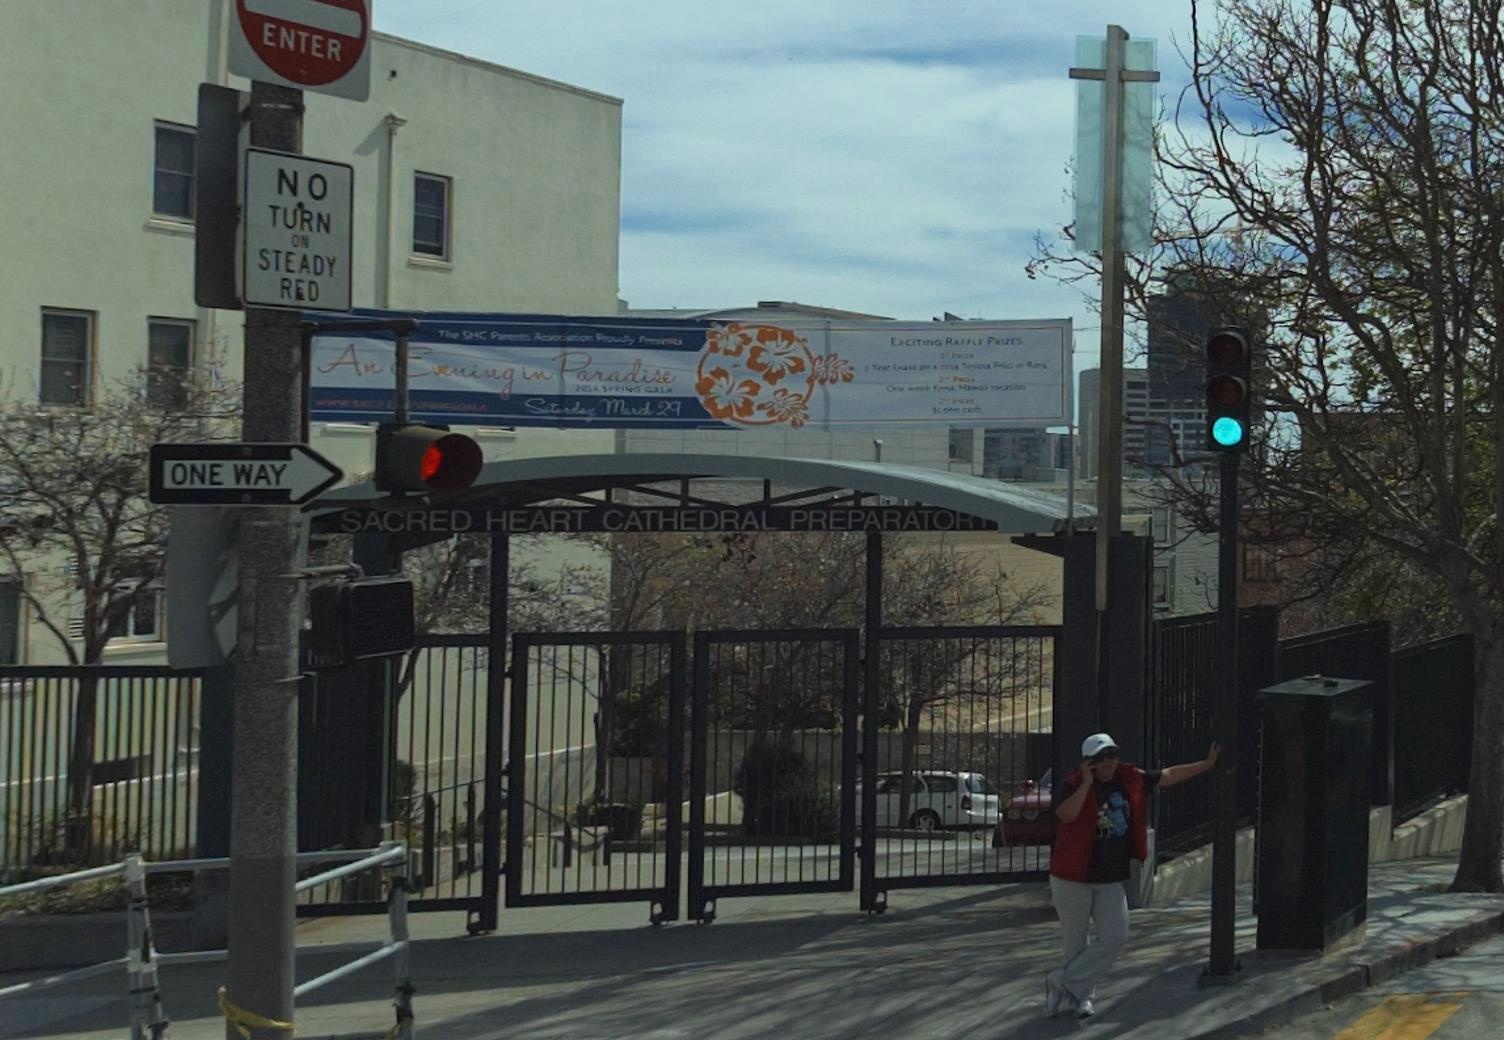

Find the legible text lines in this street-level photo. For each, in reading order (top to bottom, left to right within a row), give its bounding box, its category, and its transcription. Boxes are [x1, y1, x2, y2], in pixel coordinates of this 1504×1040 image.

[258, 17, 343, 68] None: ENTER
[274, 162, 331, 207] None: NO
[264, 200, 333, 239] None: TURN
[289, 231, 311, 253] None: ON
[257, 245, 340, 282] None: STEADY
[278, 273, 321, 306] None: RED
[886, 334, 1025, 349] None: EXCITING RAFFLE P****S
[312, 339, 678, 402] None: An ***ning in Paradise
[522, 395, 685, 424] None: Saturday March 29
[168, 460, 295, 490] None: ONE WAY
[338, 508, 994, 533] BusinessName: SACRED JEART CATHEDRAL PREPARATO**